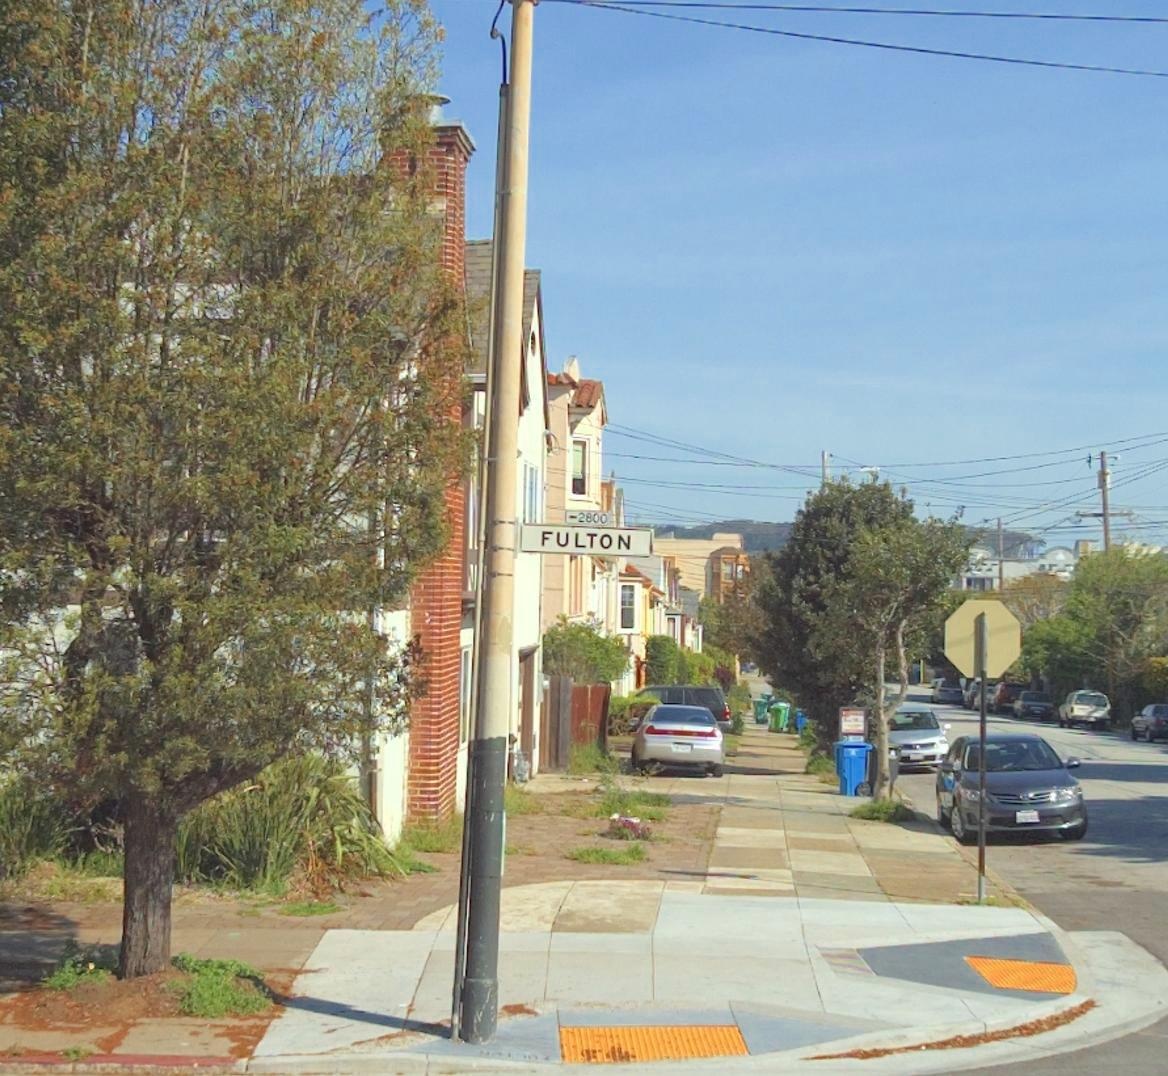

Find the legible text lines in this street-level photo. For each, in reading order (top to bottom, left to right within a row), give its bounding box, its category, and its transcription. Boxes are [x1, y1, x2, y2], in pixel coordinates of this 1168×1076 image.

[567, 510, 609, 525] StreetNumberRange: <-2800
[539, 528, 633, 552] StreetName: FULTON